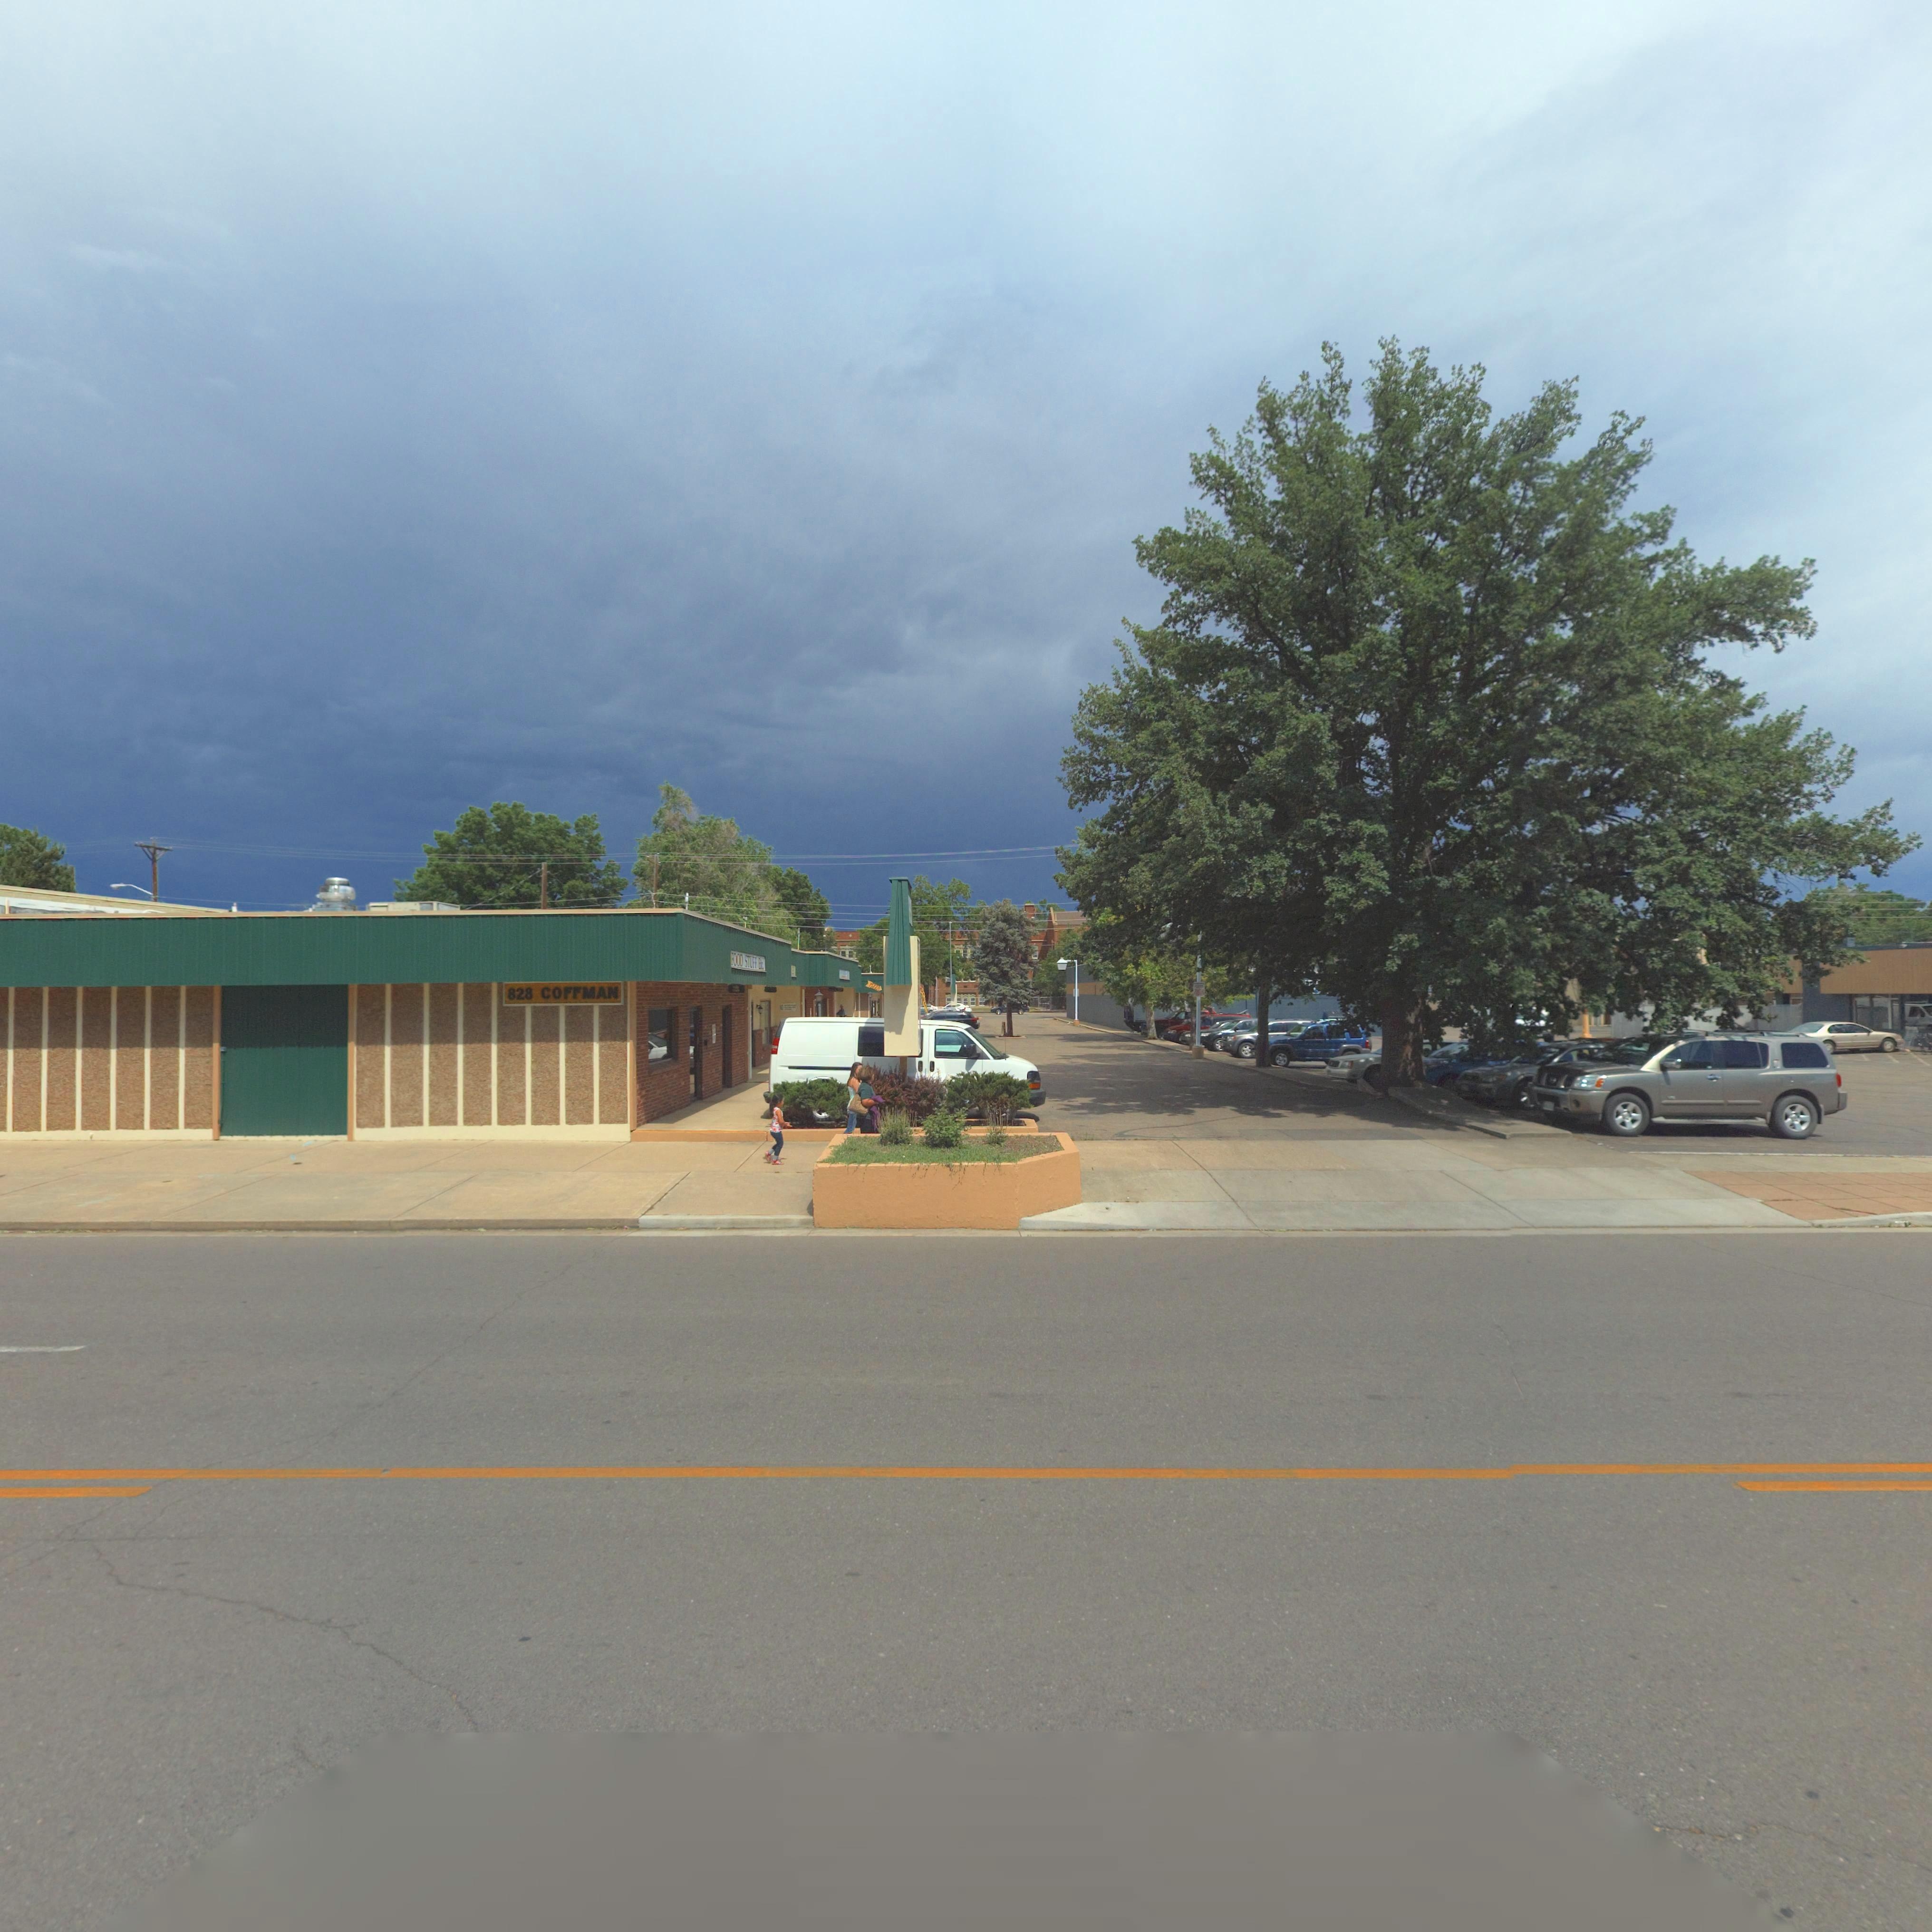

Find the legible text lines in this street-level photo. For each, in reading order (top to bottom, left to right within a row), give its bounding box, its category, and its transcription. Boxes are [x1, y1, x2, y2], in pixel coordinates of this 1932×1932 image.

[731, 952, 764, 970] BusinessName: FOOD STUFF **
[507, 987, 534, 1000] StreetNumber: 828
[540, 986, 618, 999] StreetName: COFFMAN